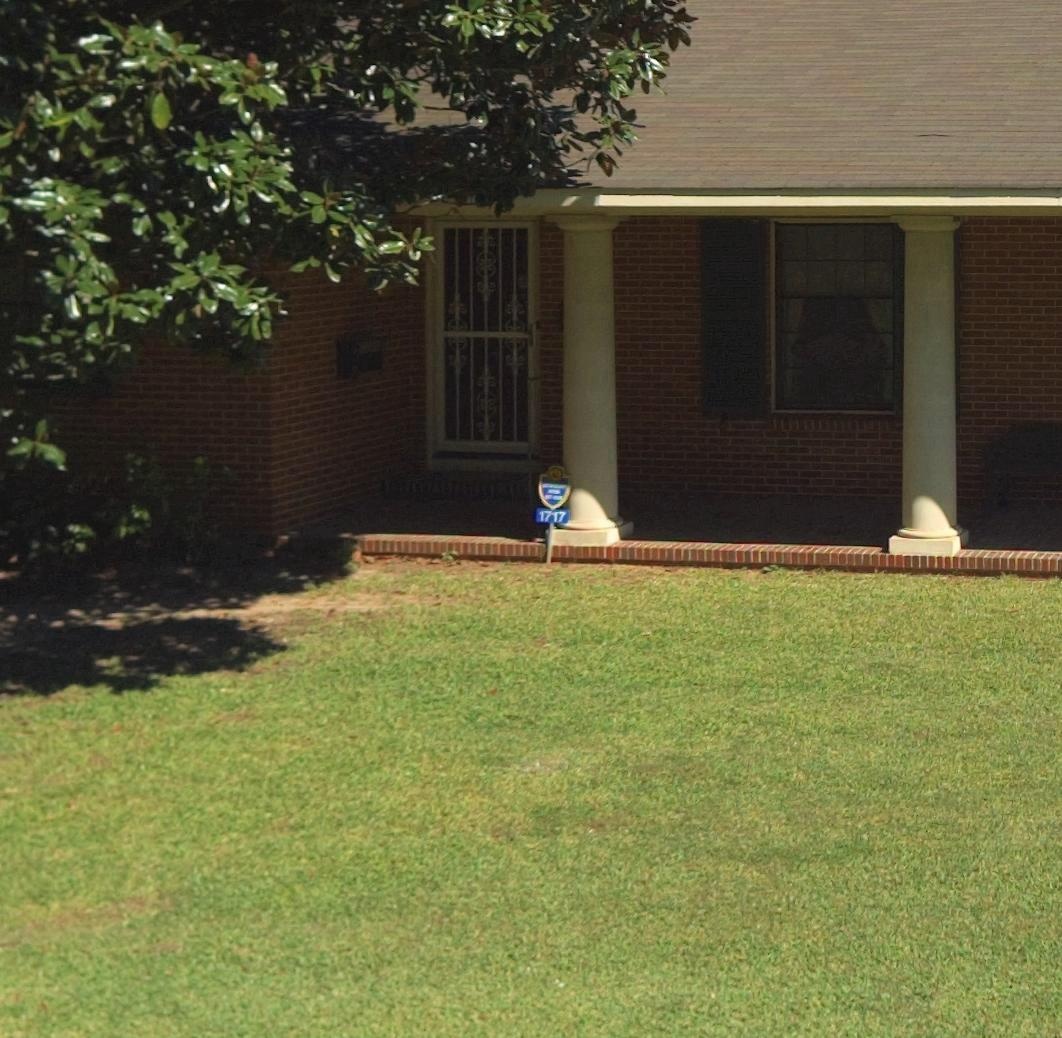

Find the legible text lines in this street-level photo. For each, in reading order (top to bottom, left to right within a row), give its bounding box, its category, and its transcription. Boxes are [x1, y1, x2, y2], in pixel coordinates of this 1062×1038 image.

[537, 509, 569, 524] StreetNumber: 1717